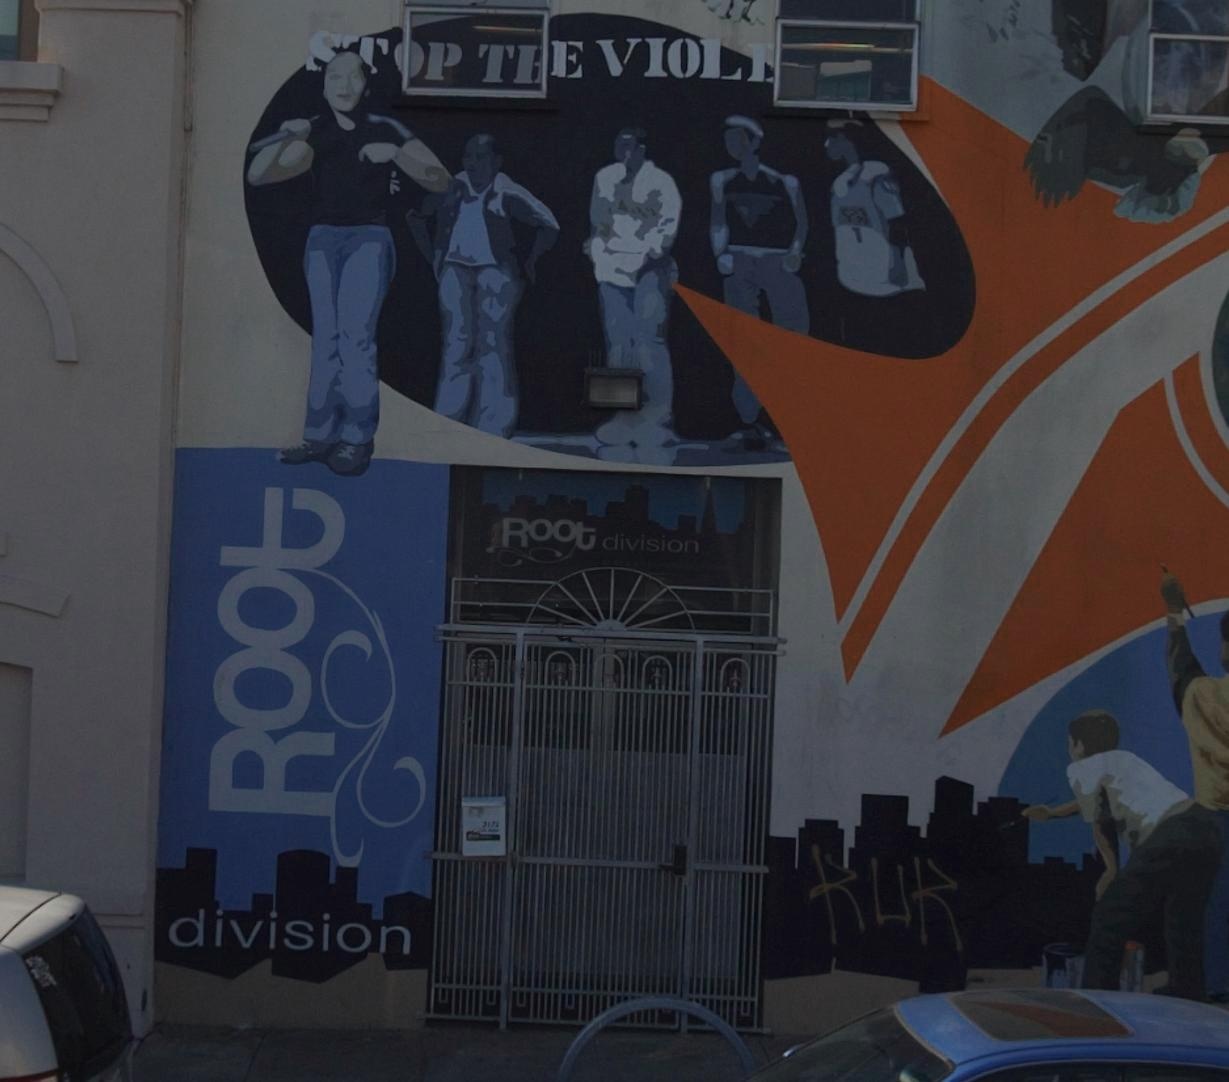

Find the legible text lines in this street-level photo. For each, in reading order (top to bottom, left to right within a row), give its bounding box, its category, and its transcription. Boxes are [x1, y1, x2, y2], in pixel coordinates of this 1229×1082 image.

[302, 29, 743, 86] None: ST*P T*E VIOL
[501, 515, 700, 554] BusinessName: Root Division
[481, 821, 500, 828] StreetNumber: 3174
[167, 906, 413, 957] BusinessName: division